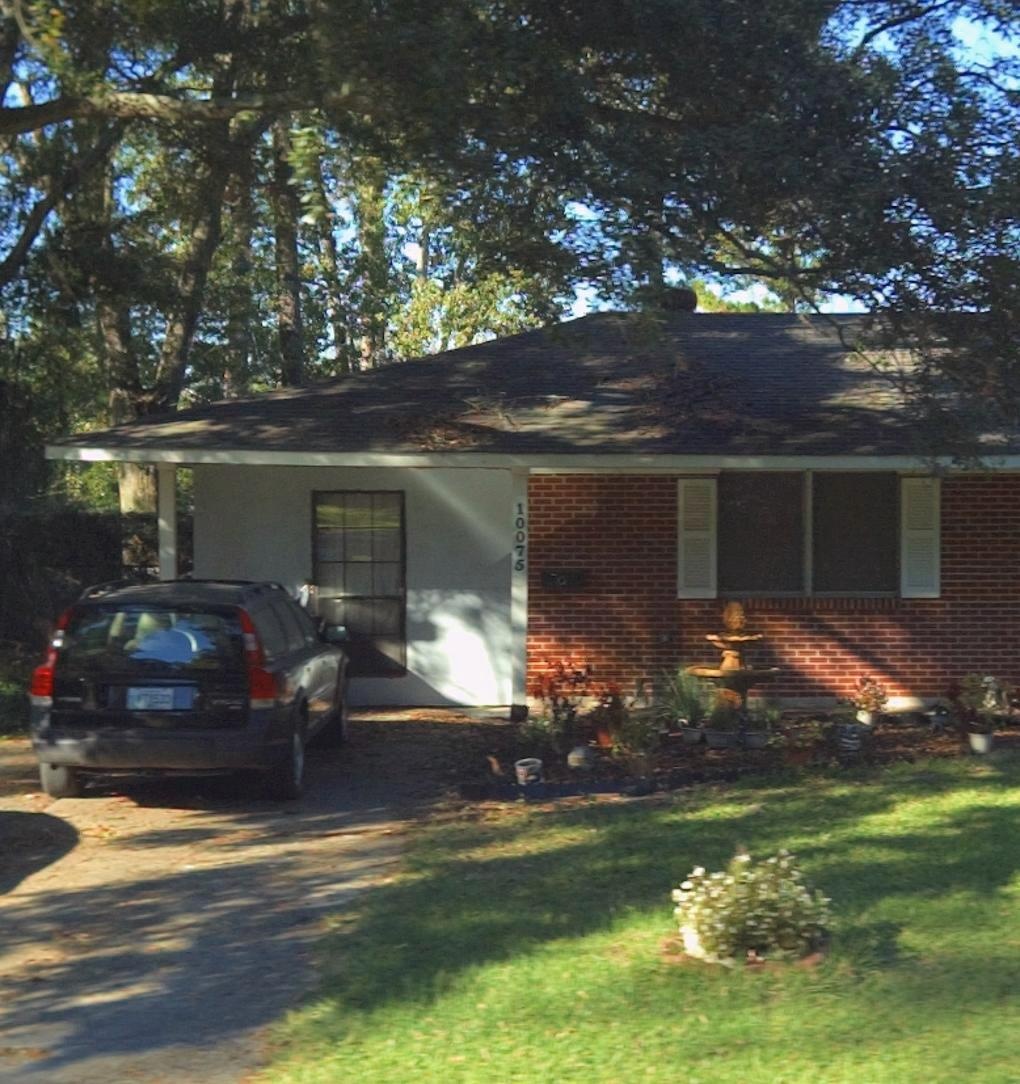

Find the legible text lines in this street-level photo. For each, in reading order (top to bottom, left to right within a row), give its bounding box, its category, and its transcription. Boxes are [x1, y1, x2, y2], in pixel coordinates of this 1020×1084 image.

[514, 502, 526, 573] StreetNumber: 10075